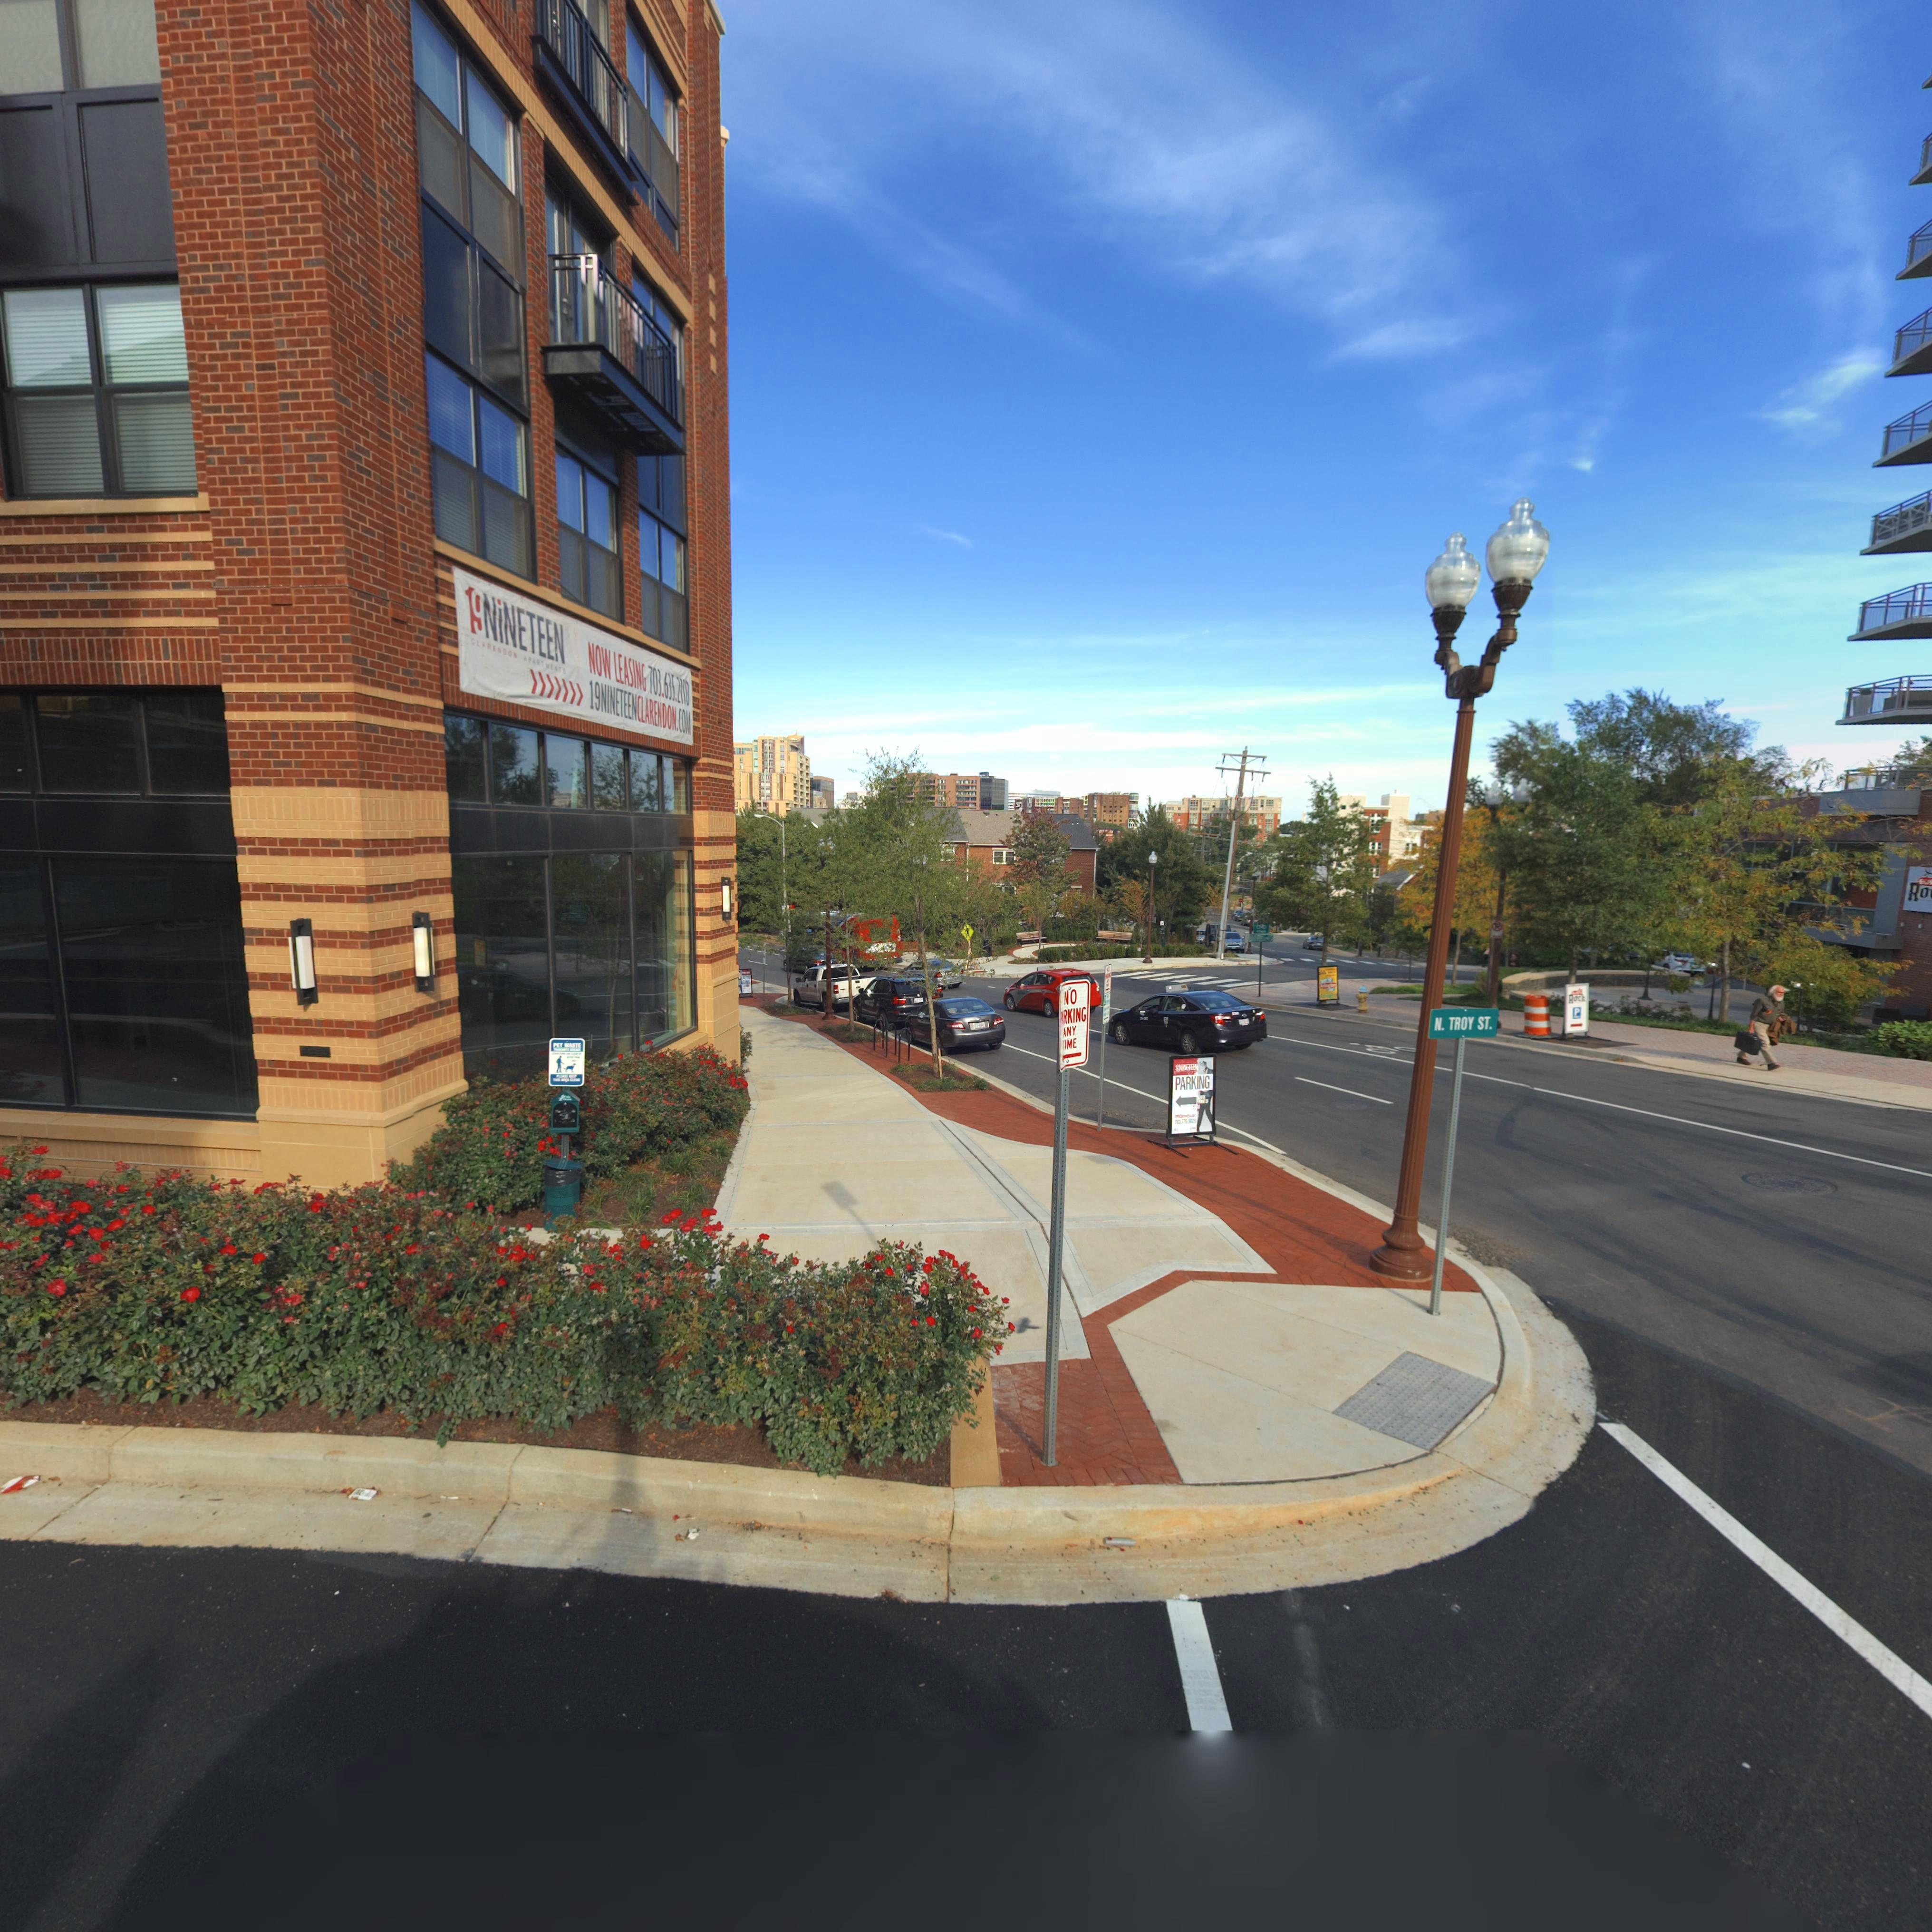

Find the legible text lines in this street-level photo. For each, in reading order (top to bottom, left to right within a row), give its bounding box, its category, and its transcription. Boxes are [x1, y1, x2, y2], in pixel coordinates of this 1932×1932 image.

[470, 587, 567, 666] None: 9NiNETEEN
[470, 636, 567, 675] None: CLARENDON APARTMENTS
[587, 639, 690, 707] None: NOW LEASING 703.635.2**0
[588, 677, 692, 736] None: 19NINETEENCLARENDON.COM
[1907, 881, 1929, 902] None: Ro
[1063, 988, 1078, 1007] None: NO
[1568, 993, 1587, 1005] None: Rock
[1066, 1024, 1077, 1037] None: NY
[1067, 1006, 1087, 1024] None: KING
[1433, 1016, 1492, 1032] StreetName: N. TROY ST
[1574, 1007, 1580, 1016] None: P
[552, 1042, 582, 1048] None: PET WASTE
[1064, 1037, 1078, 1050] None: IME
[1188, 1063, 1199, 1071] None: TEEN
[1174, 1074, 1211, 1092] None: PARKING